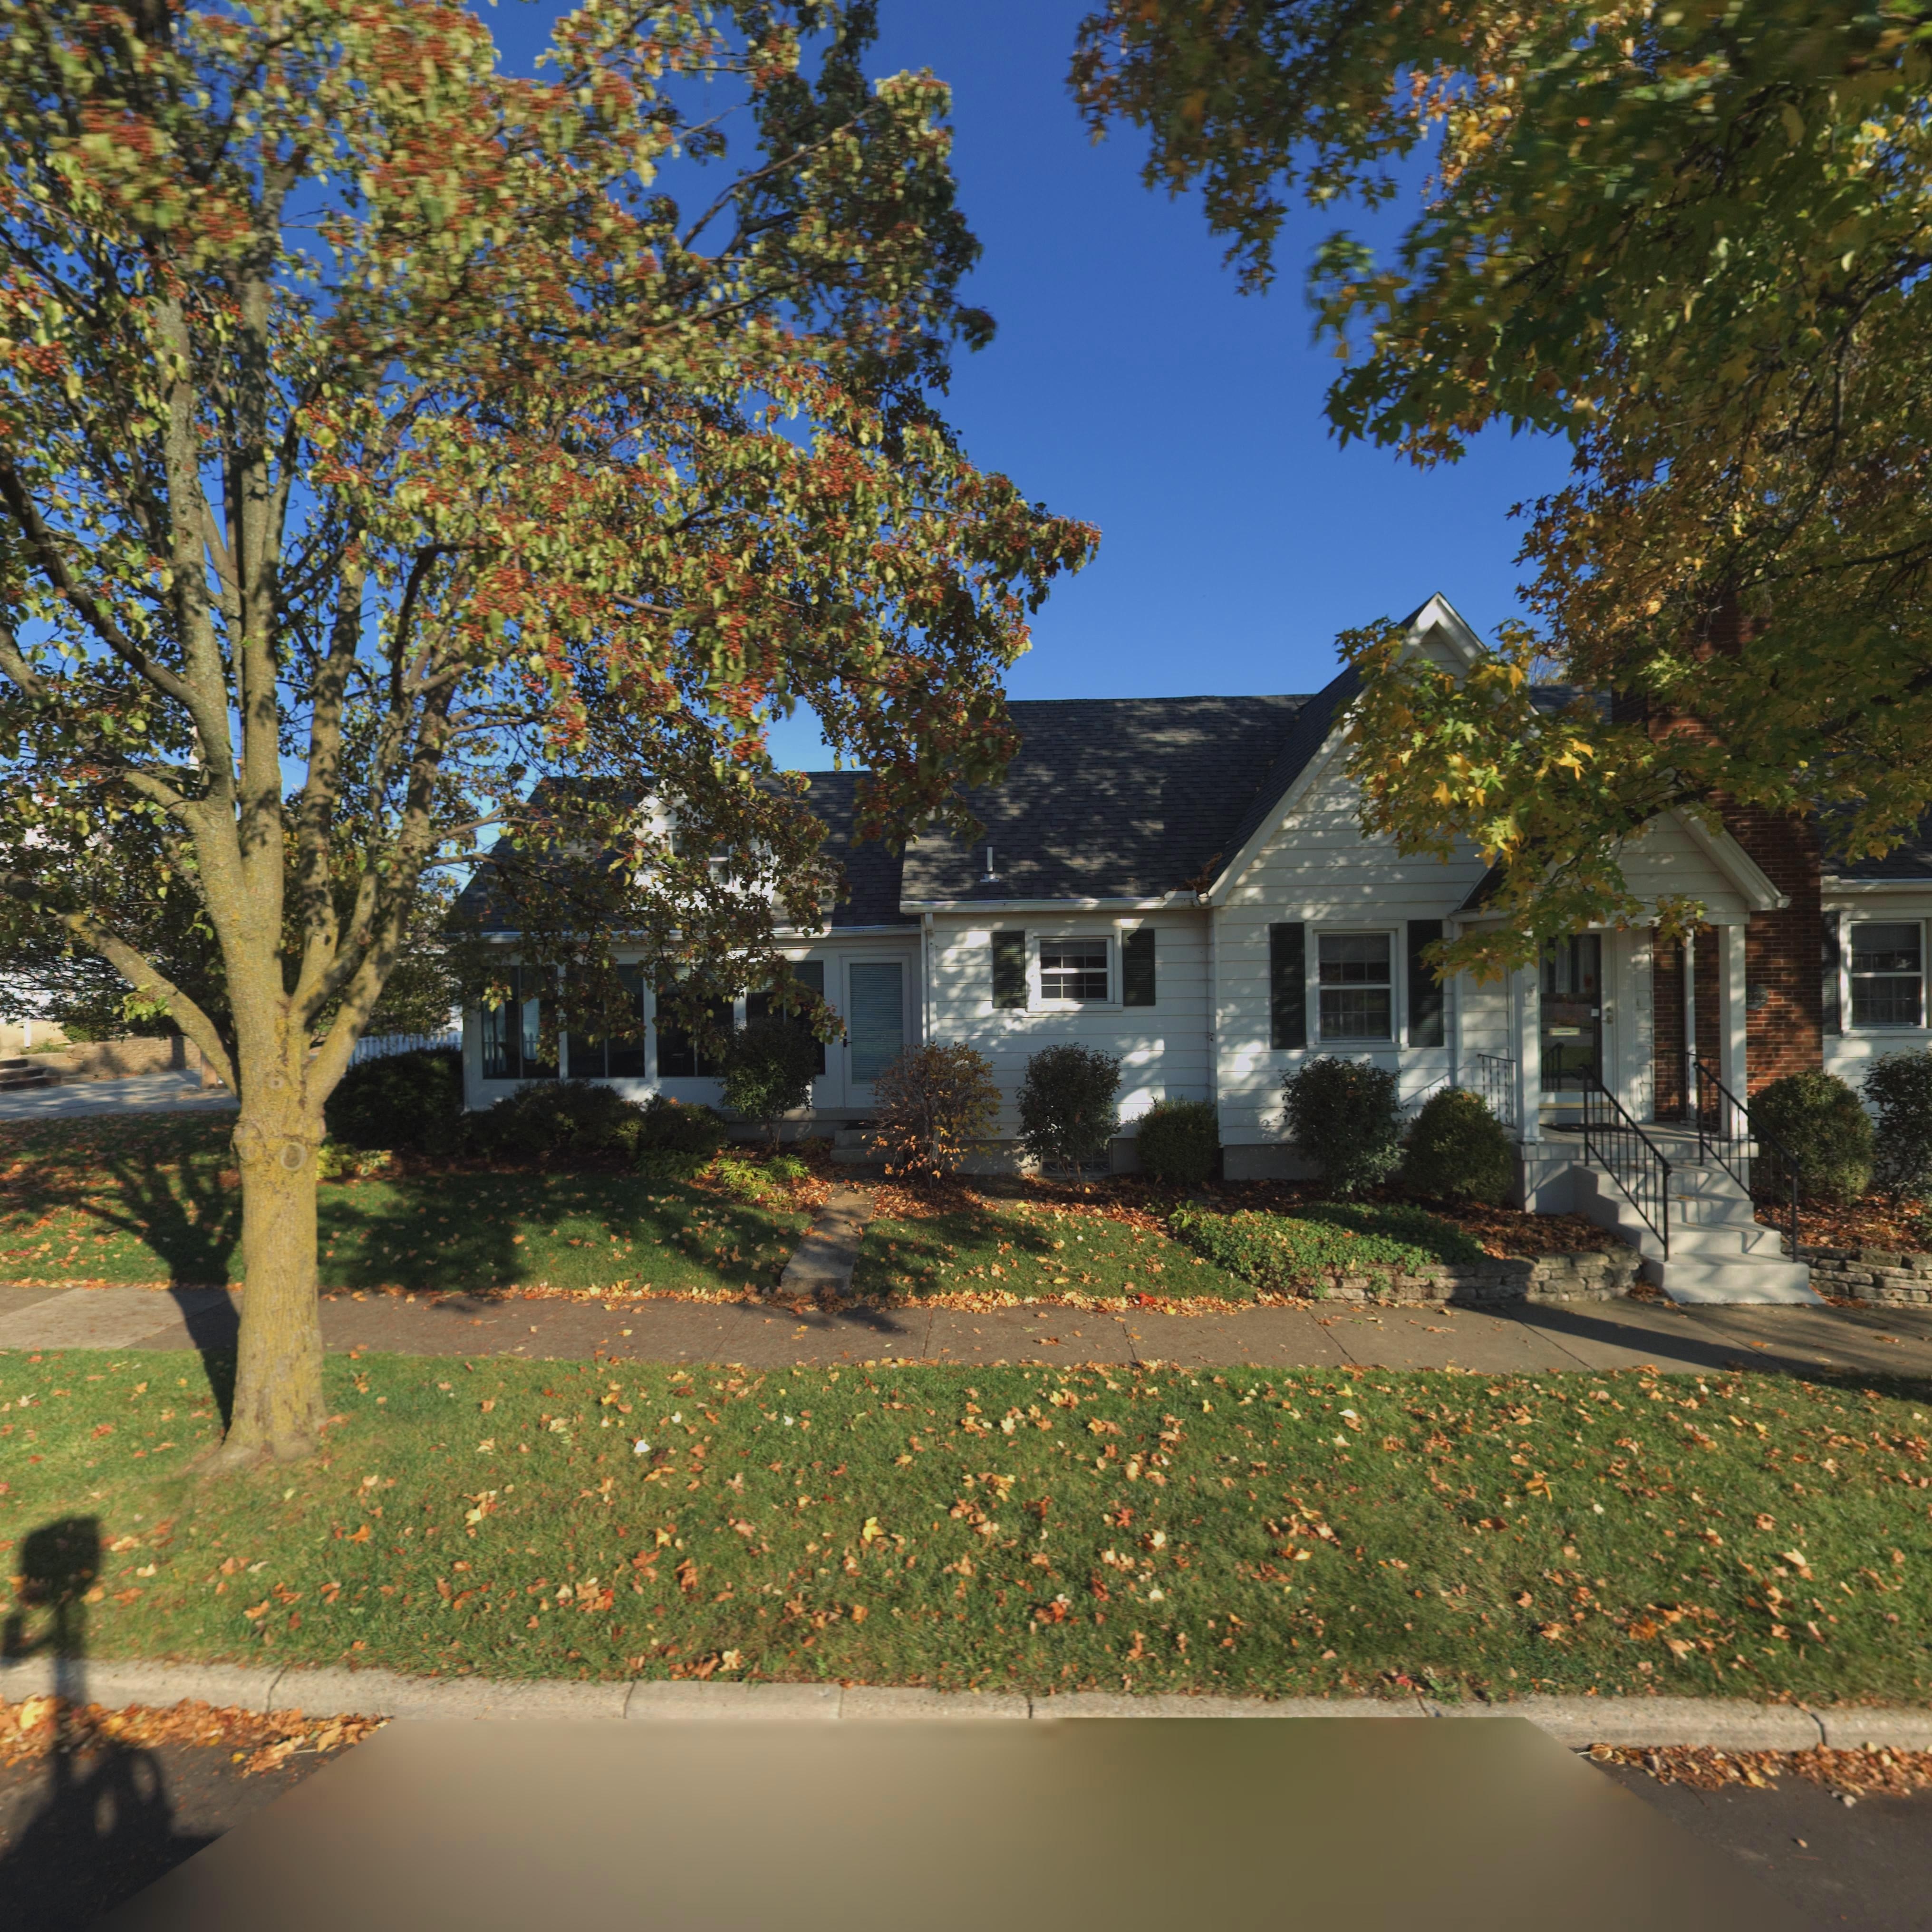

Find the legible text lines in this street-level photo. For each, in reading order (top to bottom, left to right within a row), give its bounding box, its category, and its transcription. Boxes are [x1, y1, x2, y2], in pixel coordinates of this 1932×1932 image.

[1746, 991, 1767, 1004] StreetNumber: 222